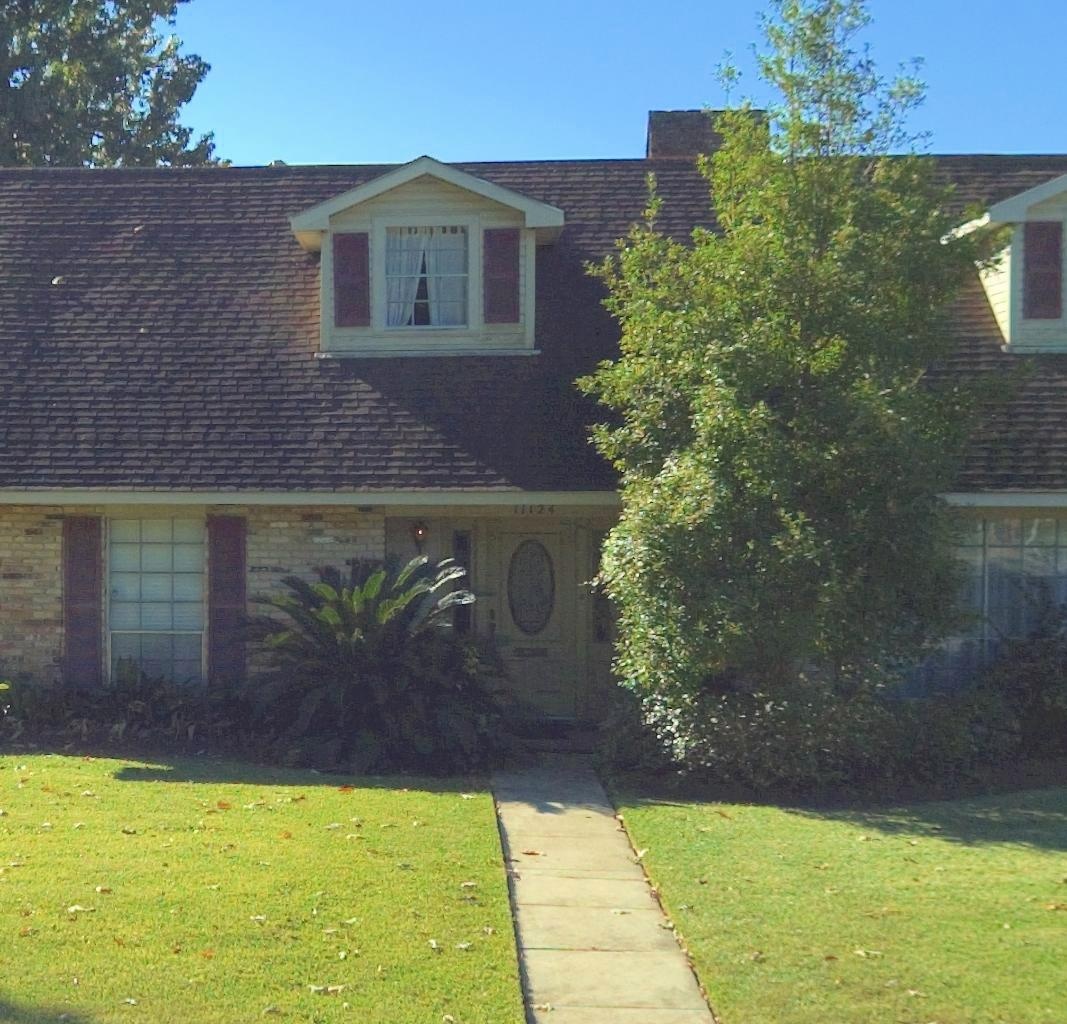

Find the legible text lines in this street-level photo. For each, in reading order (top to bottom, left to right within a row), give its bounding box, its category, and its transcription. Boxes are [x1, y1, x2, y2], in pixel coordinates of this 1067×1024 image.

[512, 502, 557, 517] StreetNumber: 11124